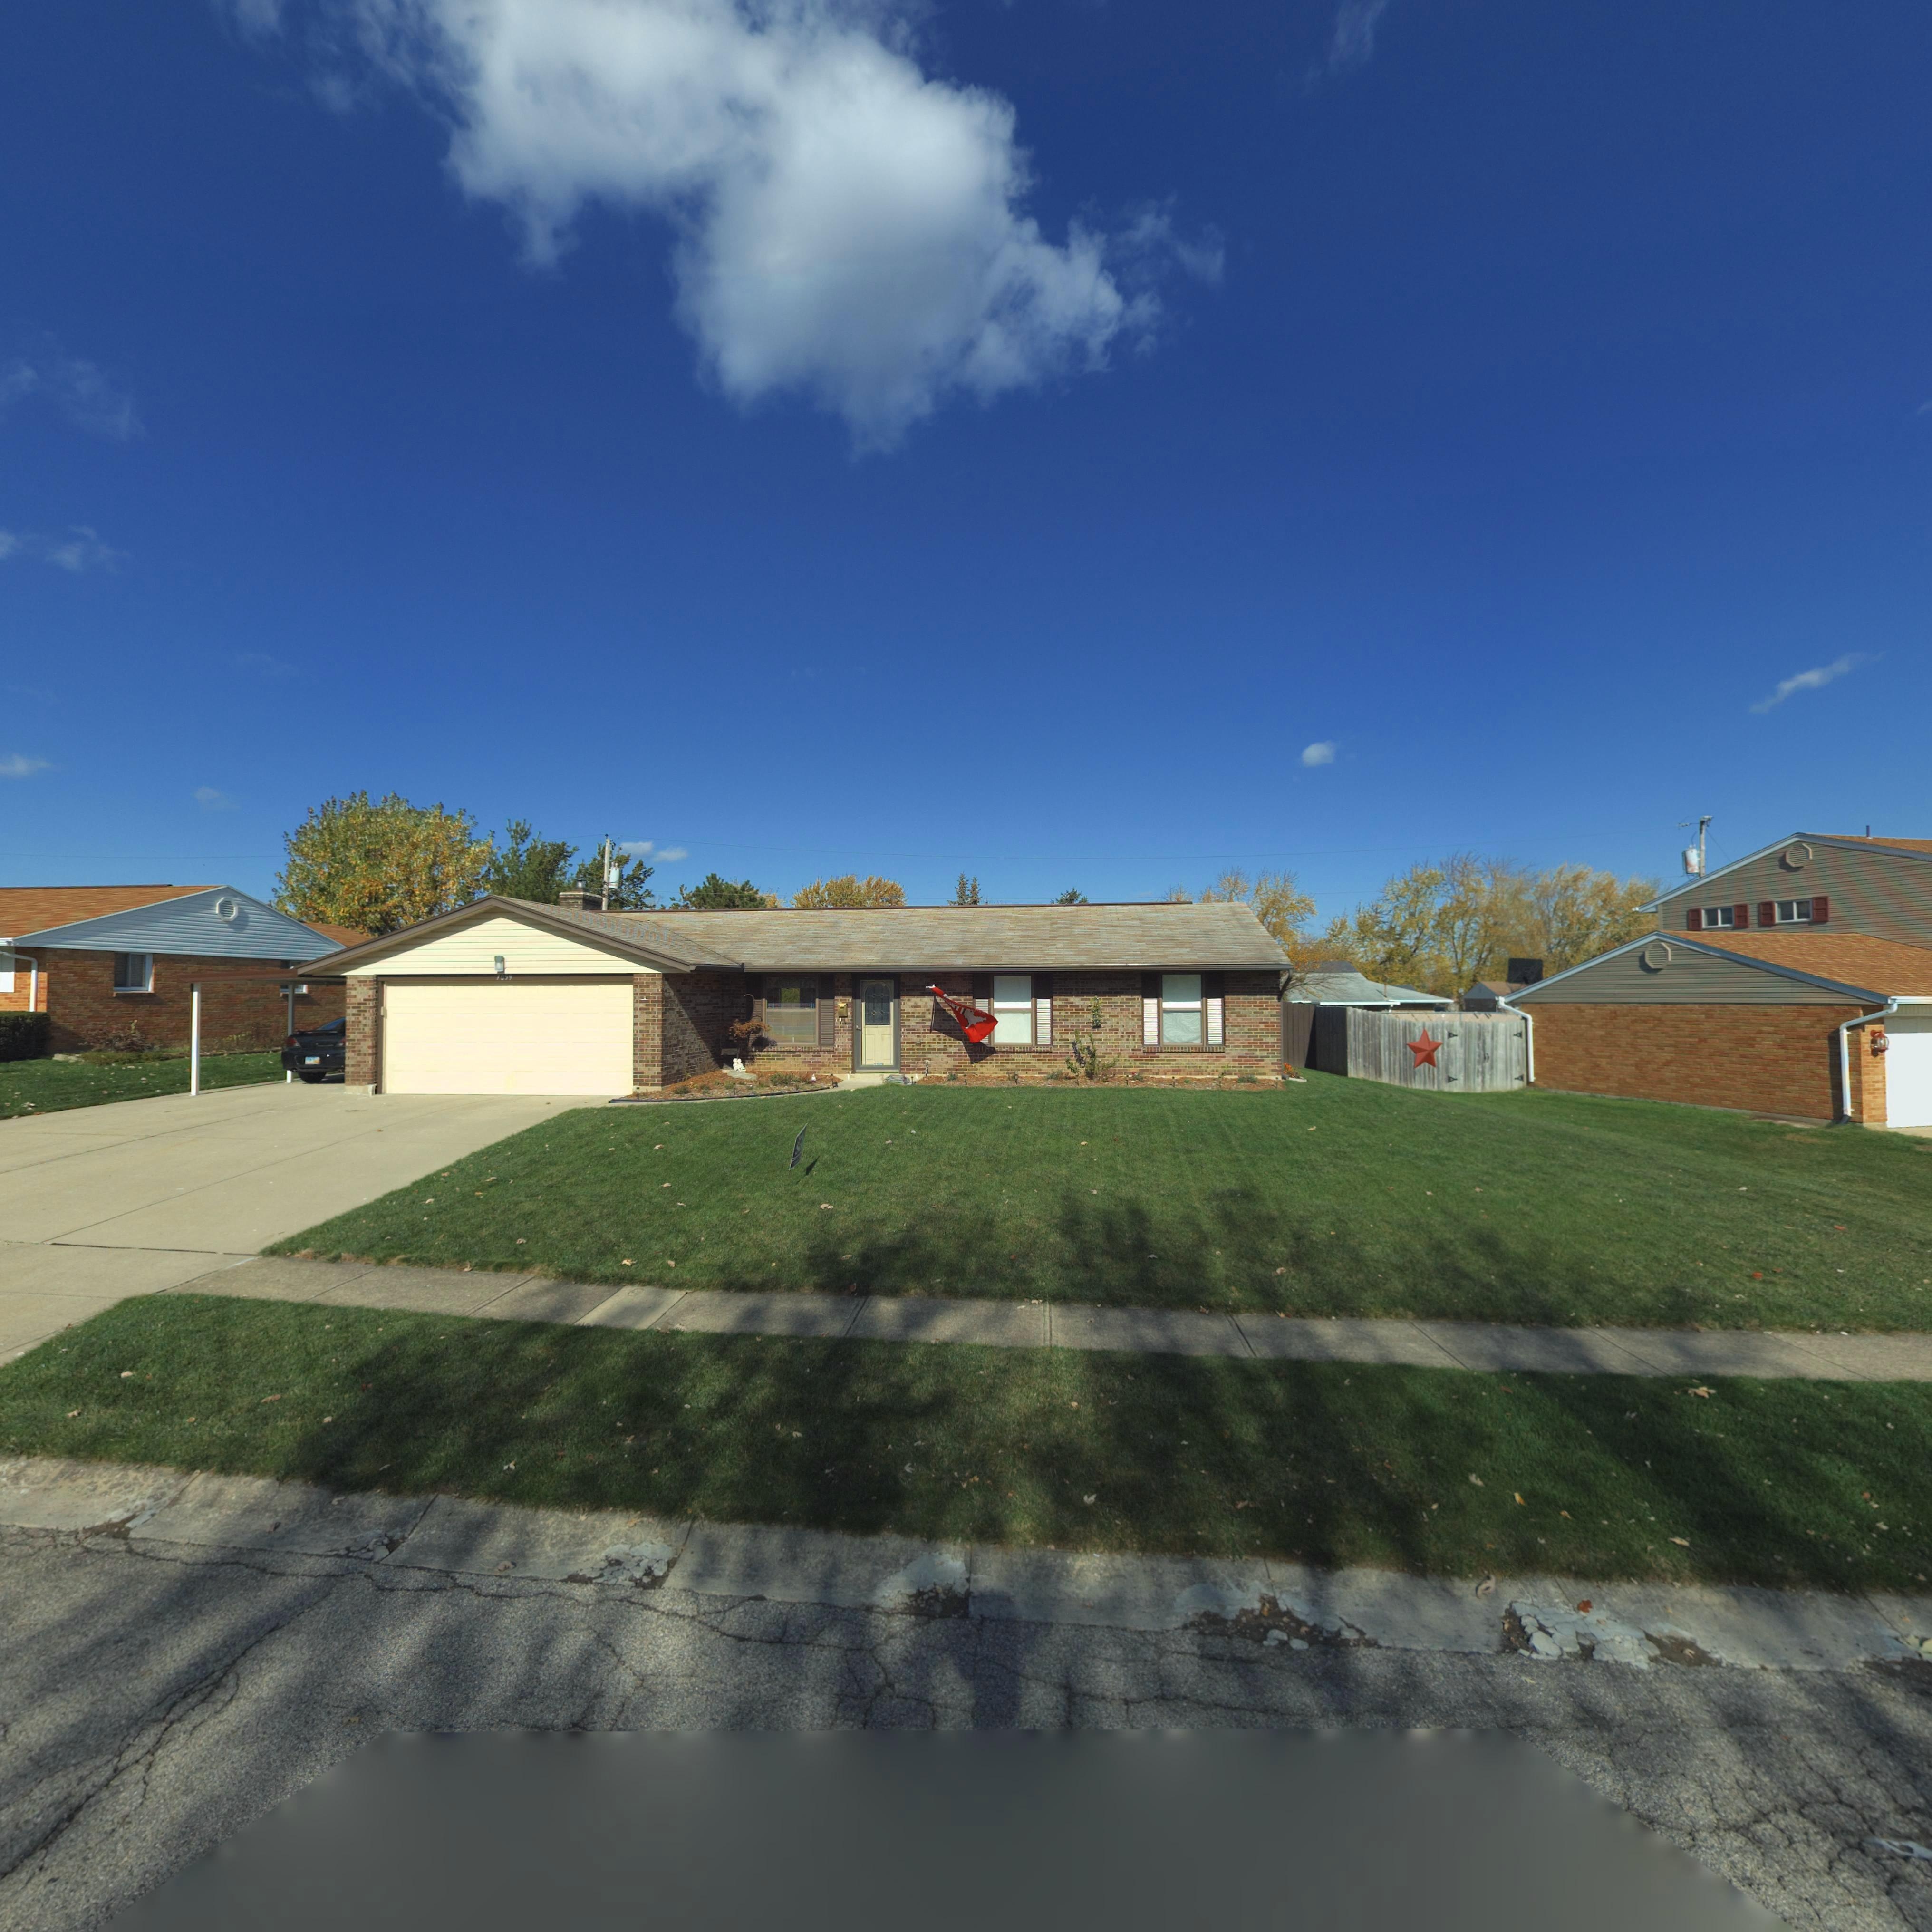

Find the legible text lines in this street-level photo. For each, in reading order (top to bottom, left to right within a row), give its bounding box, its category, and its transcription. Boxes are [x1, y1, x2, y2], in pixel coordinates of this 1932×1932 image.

[494, 973, 514, 982] StreetNumber: *0*9